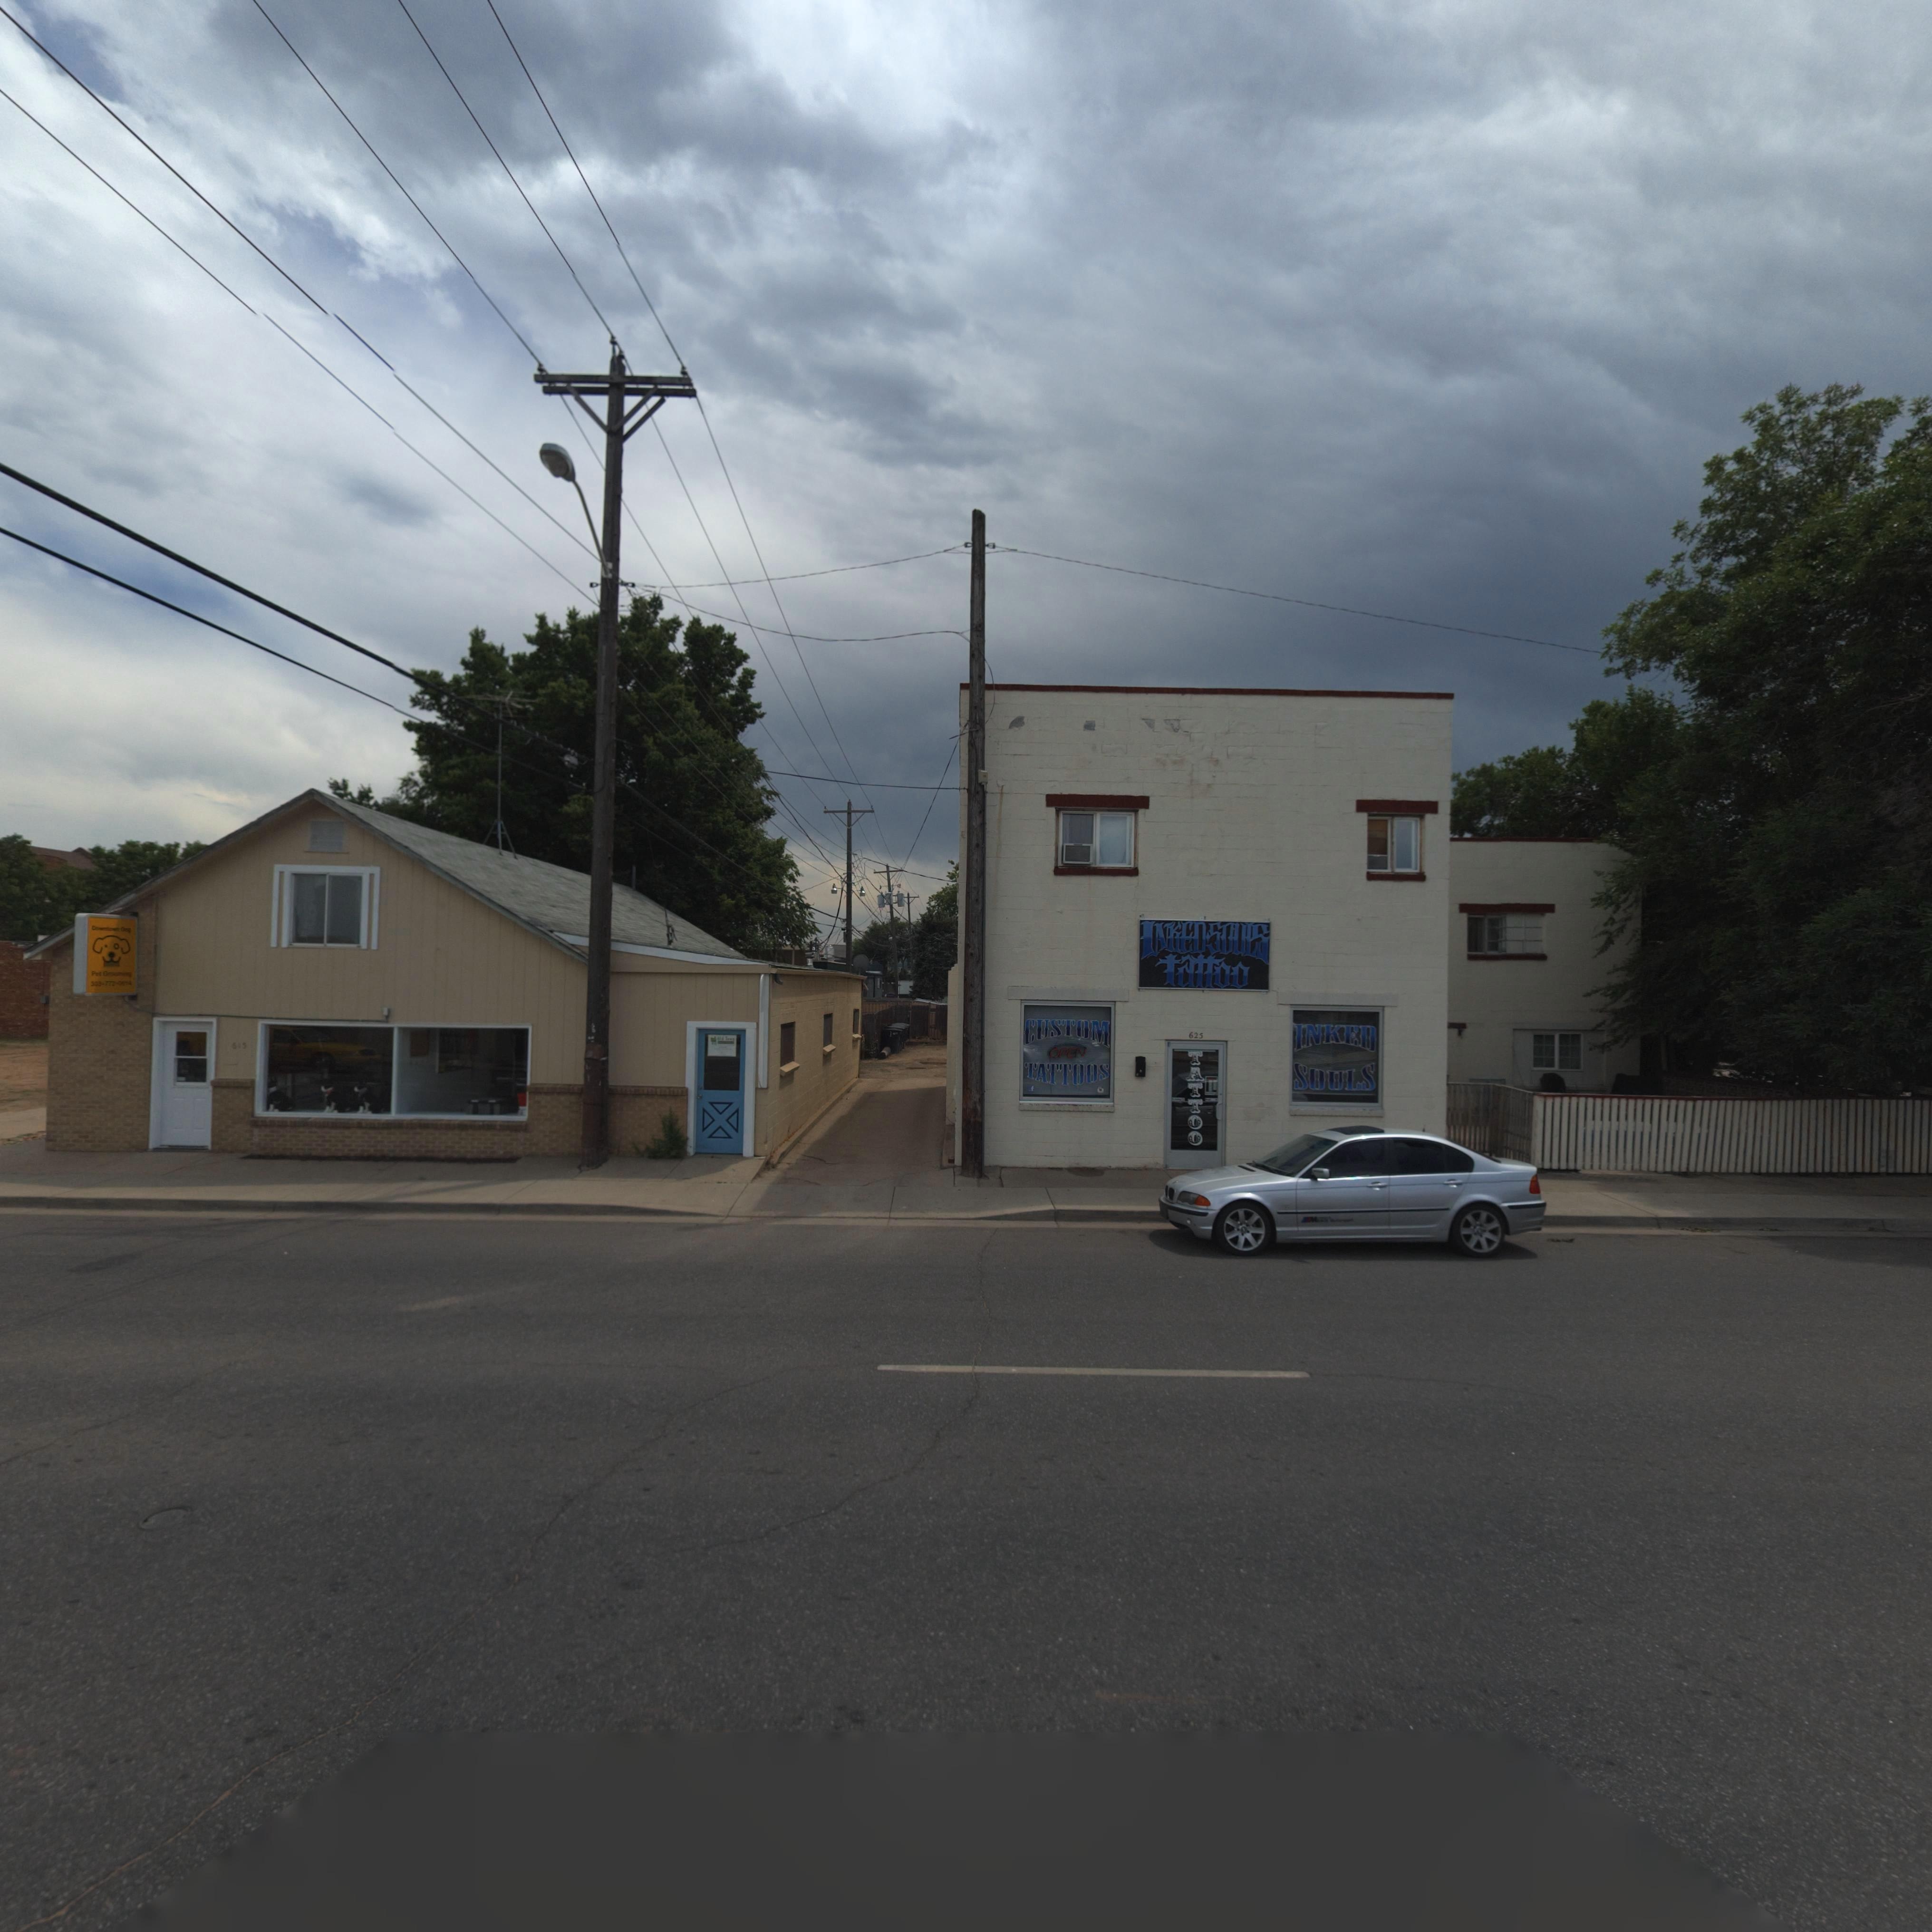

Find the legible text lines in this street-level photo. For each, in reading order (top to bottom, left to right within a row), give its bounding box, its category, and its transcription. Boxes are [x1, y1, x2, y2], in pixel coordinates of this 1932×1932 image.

[91, 925, 132, 934] BusinessName: Do******* Dog
[1139, 920, 1269, 966] BusinessName: INKED*SOULS
[1157, 953, 1250, 988] BusinessName: tattoo
[232, 1041, 246, 1049] StreetNumber: 615
[1188, 1031, 1203, 1039] StreetNumber: 625
[1294, 1023, 1376, 1053] BusinessName: INKED
[1293, 1061, 1376, 1091] BusinessName: SOULS